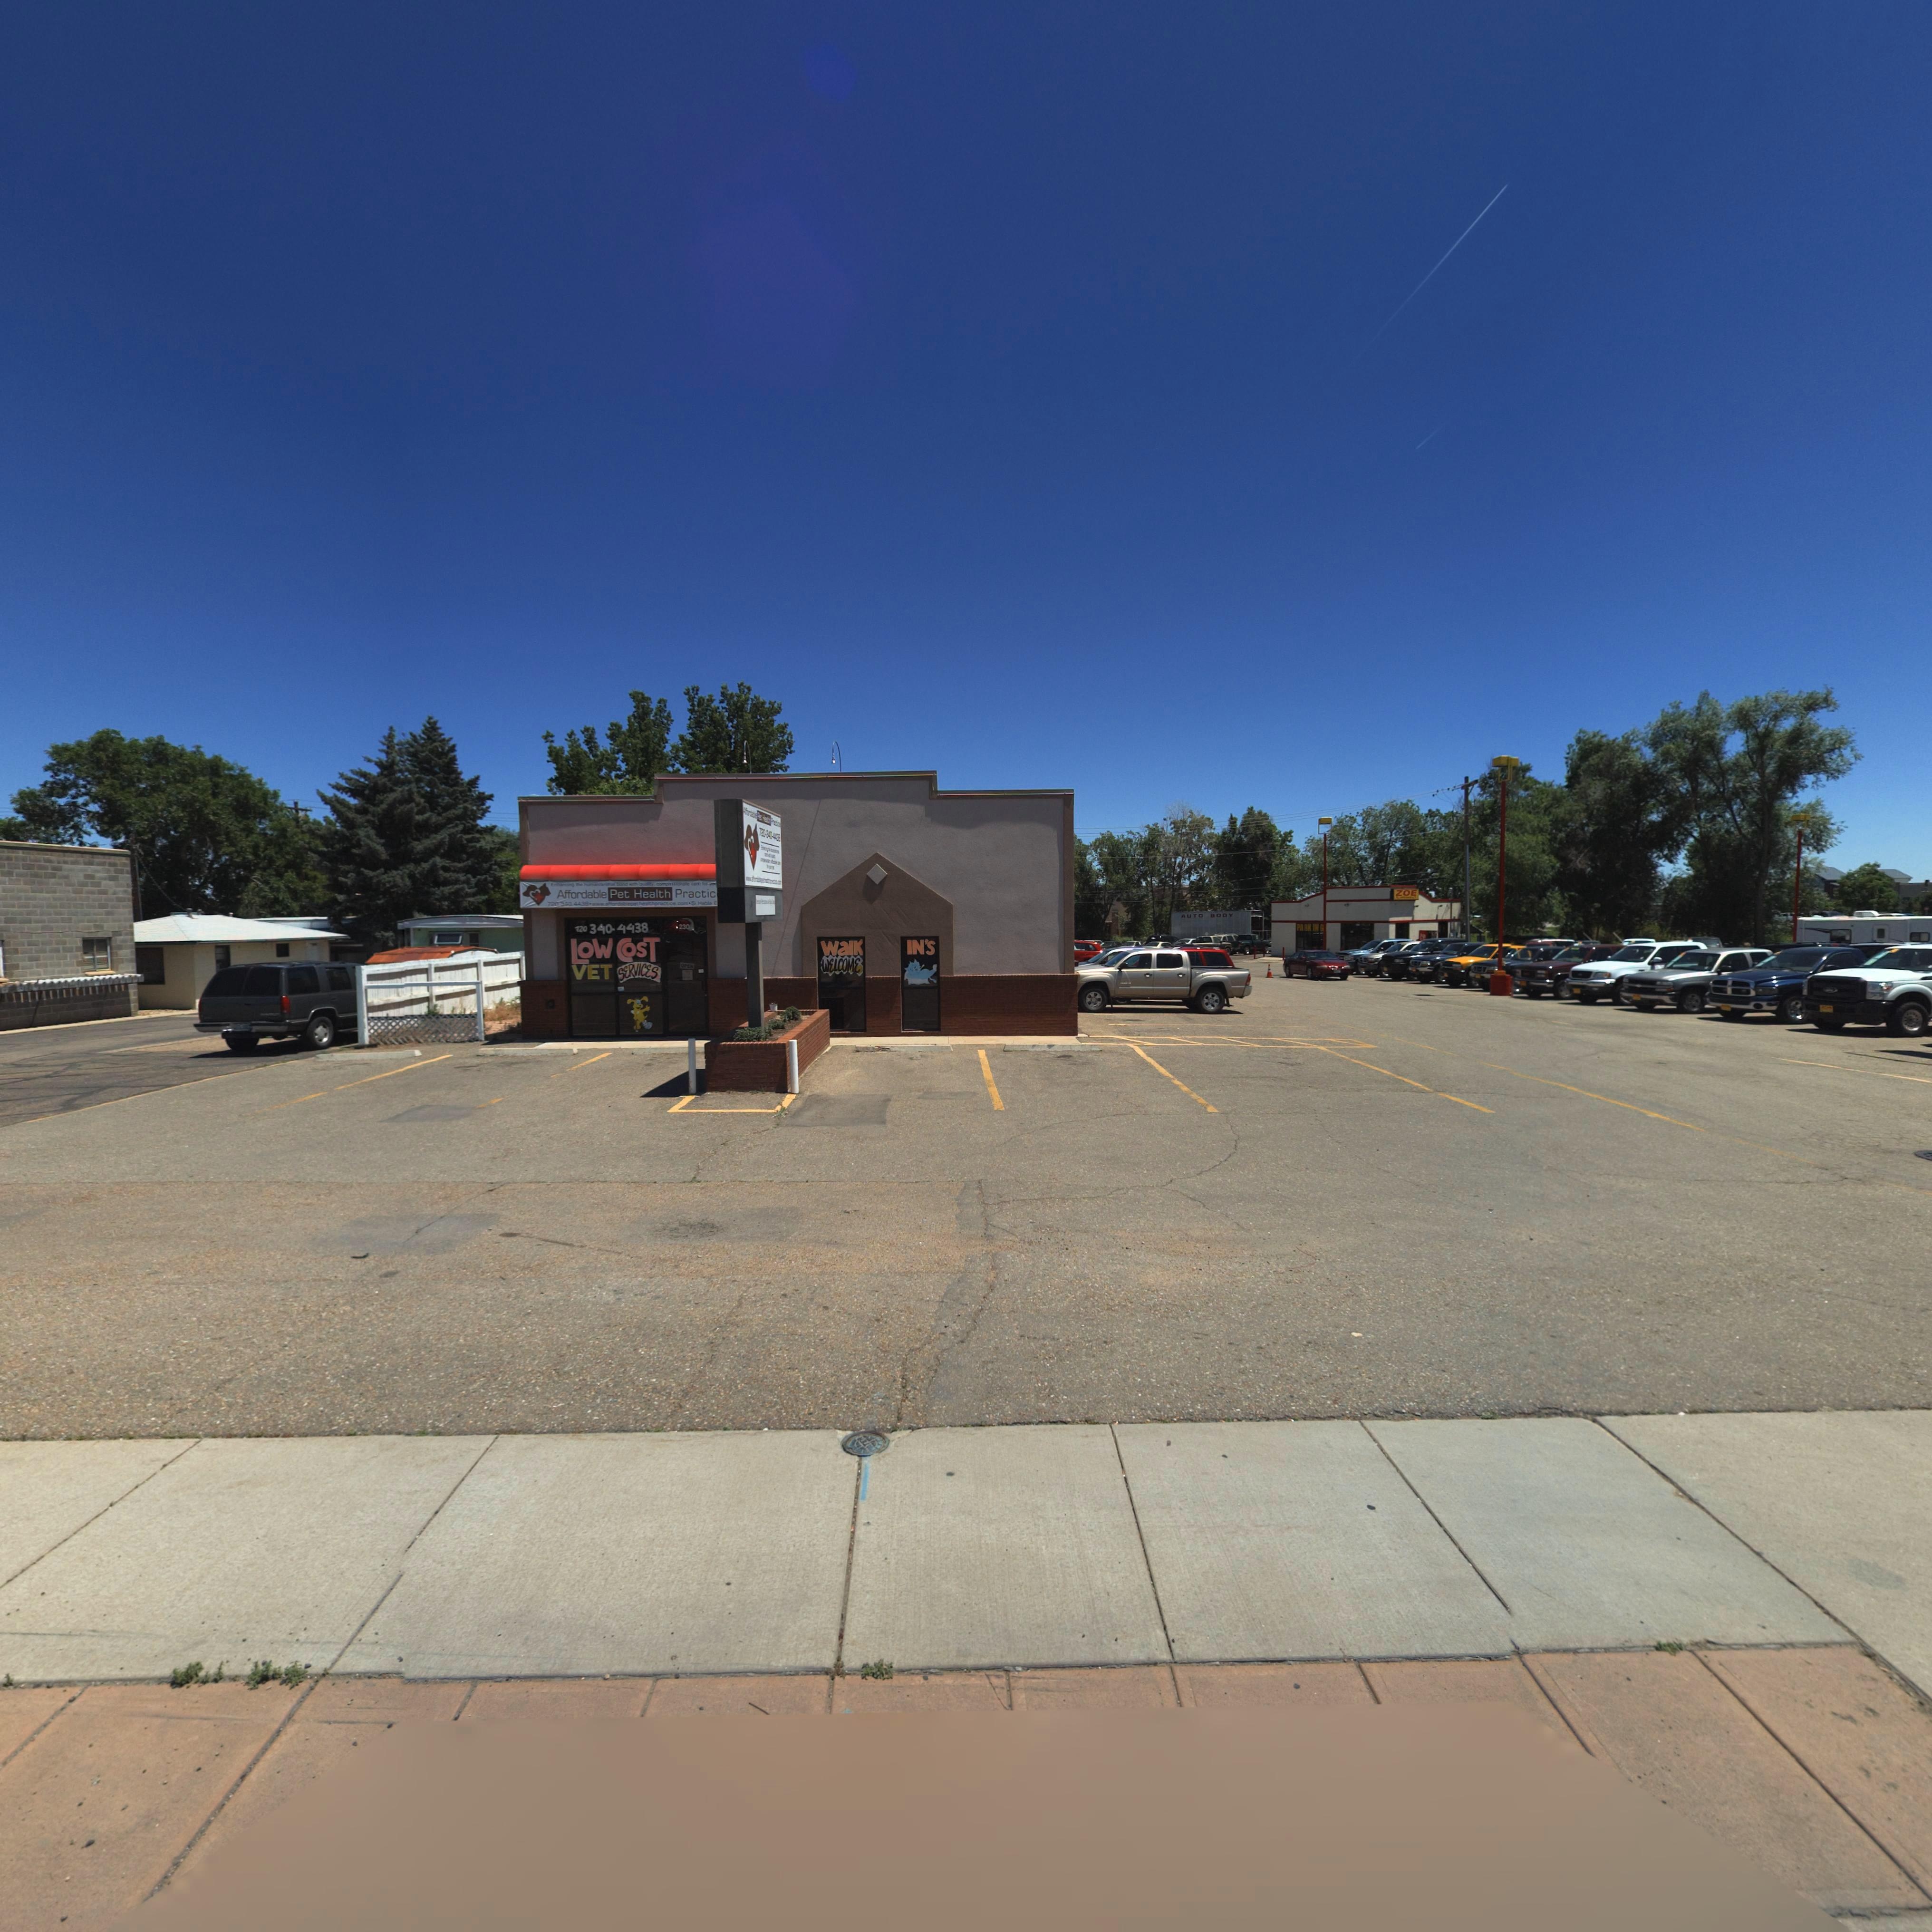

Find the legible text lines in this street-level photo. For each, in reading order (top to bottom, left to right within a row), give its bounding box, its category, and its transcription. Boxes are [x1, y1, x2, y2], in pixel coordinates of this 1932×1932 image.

[743, 807, 781, 827] BusinessName: Afford*ble Pet Health Pr****ce
[556, 889, 715, 898] BusinessName: Affordable Pet Health Practice
[1395, 889, 1417, 896] BusinessName: ZOE
[1180, 913, 1233, 918] BusinessName: AUTO BODY
[678, 924, 689, 930] StreetNumber: 230